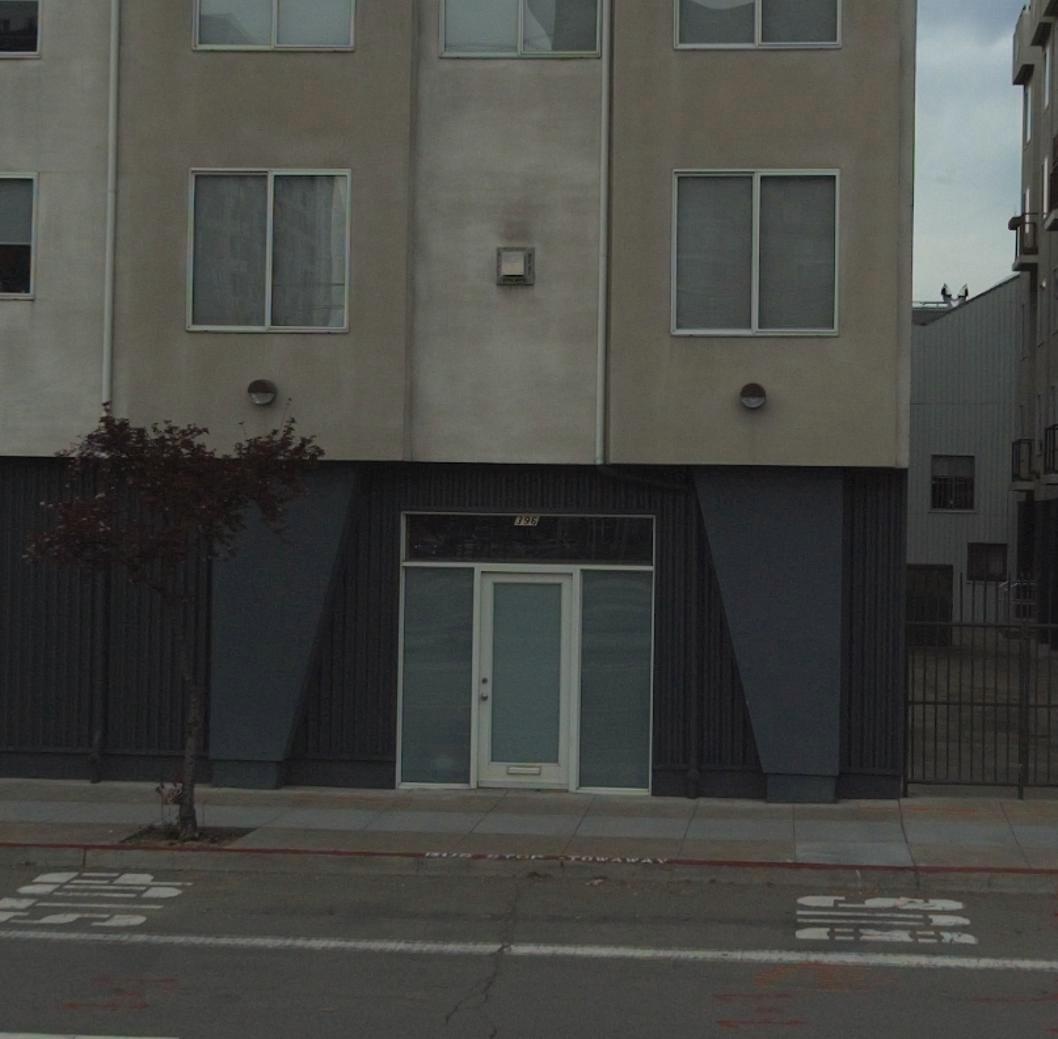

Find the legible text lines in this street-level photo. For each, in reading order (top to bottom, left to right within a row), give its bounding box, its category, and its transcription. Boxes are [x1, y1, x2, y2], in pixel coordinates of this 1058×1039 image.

[515, 514, 539, 526] StreetNumber: 396
[0, 867, 203, 914] None: TOP
[790, 890, 986, 949] None: BUS